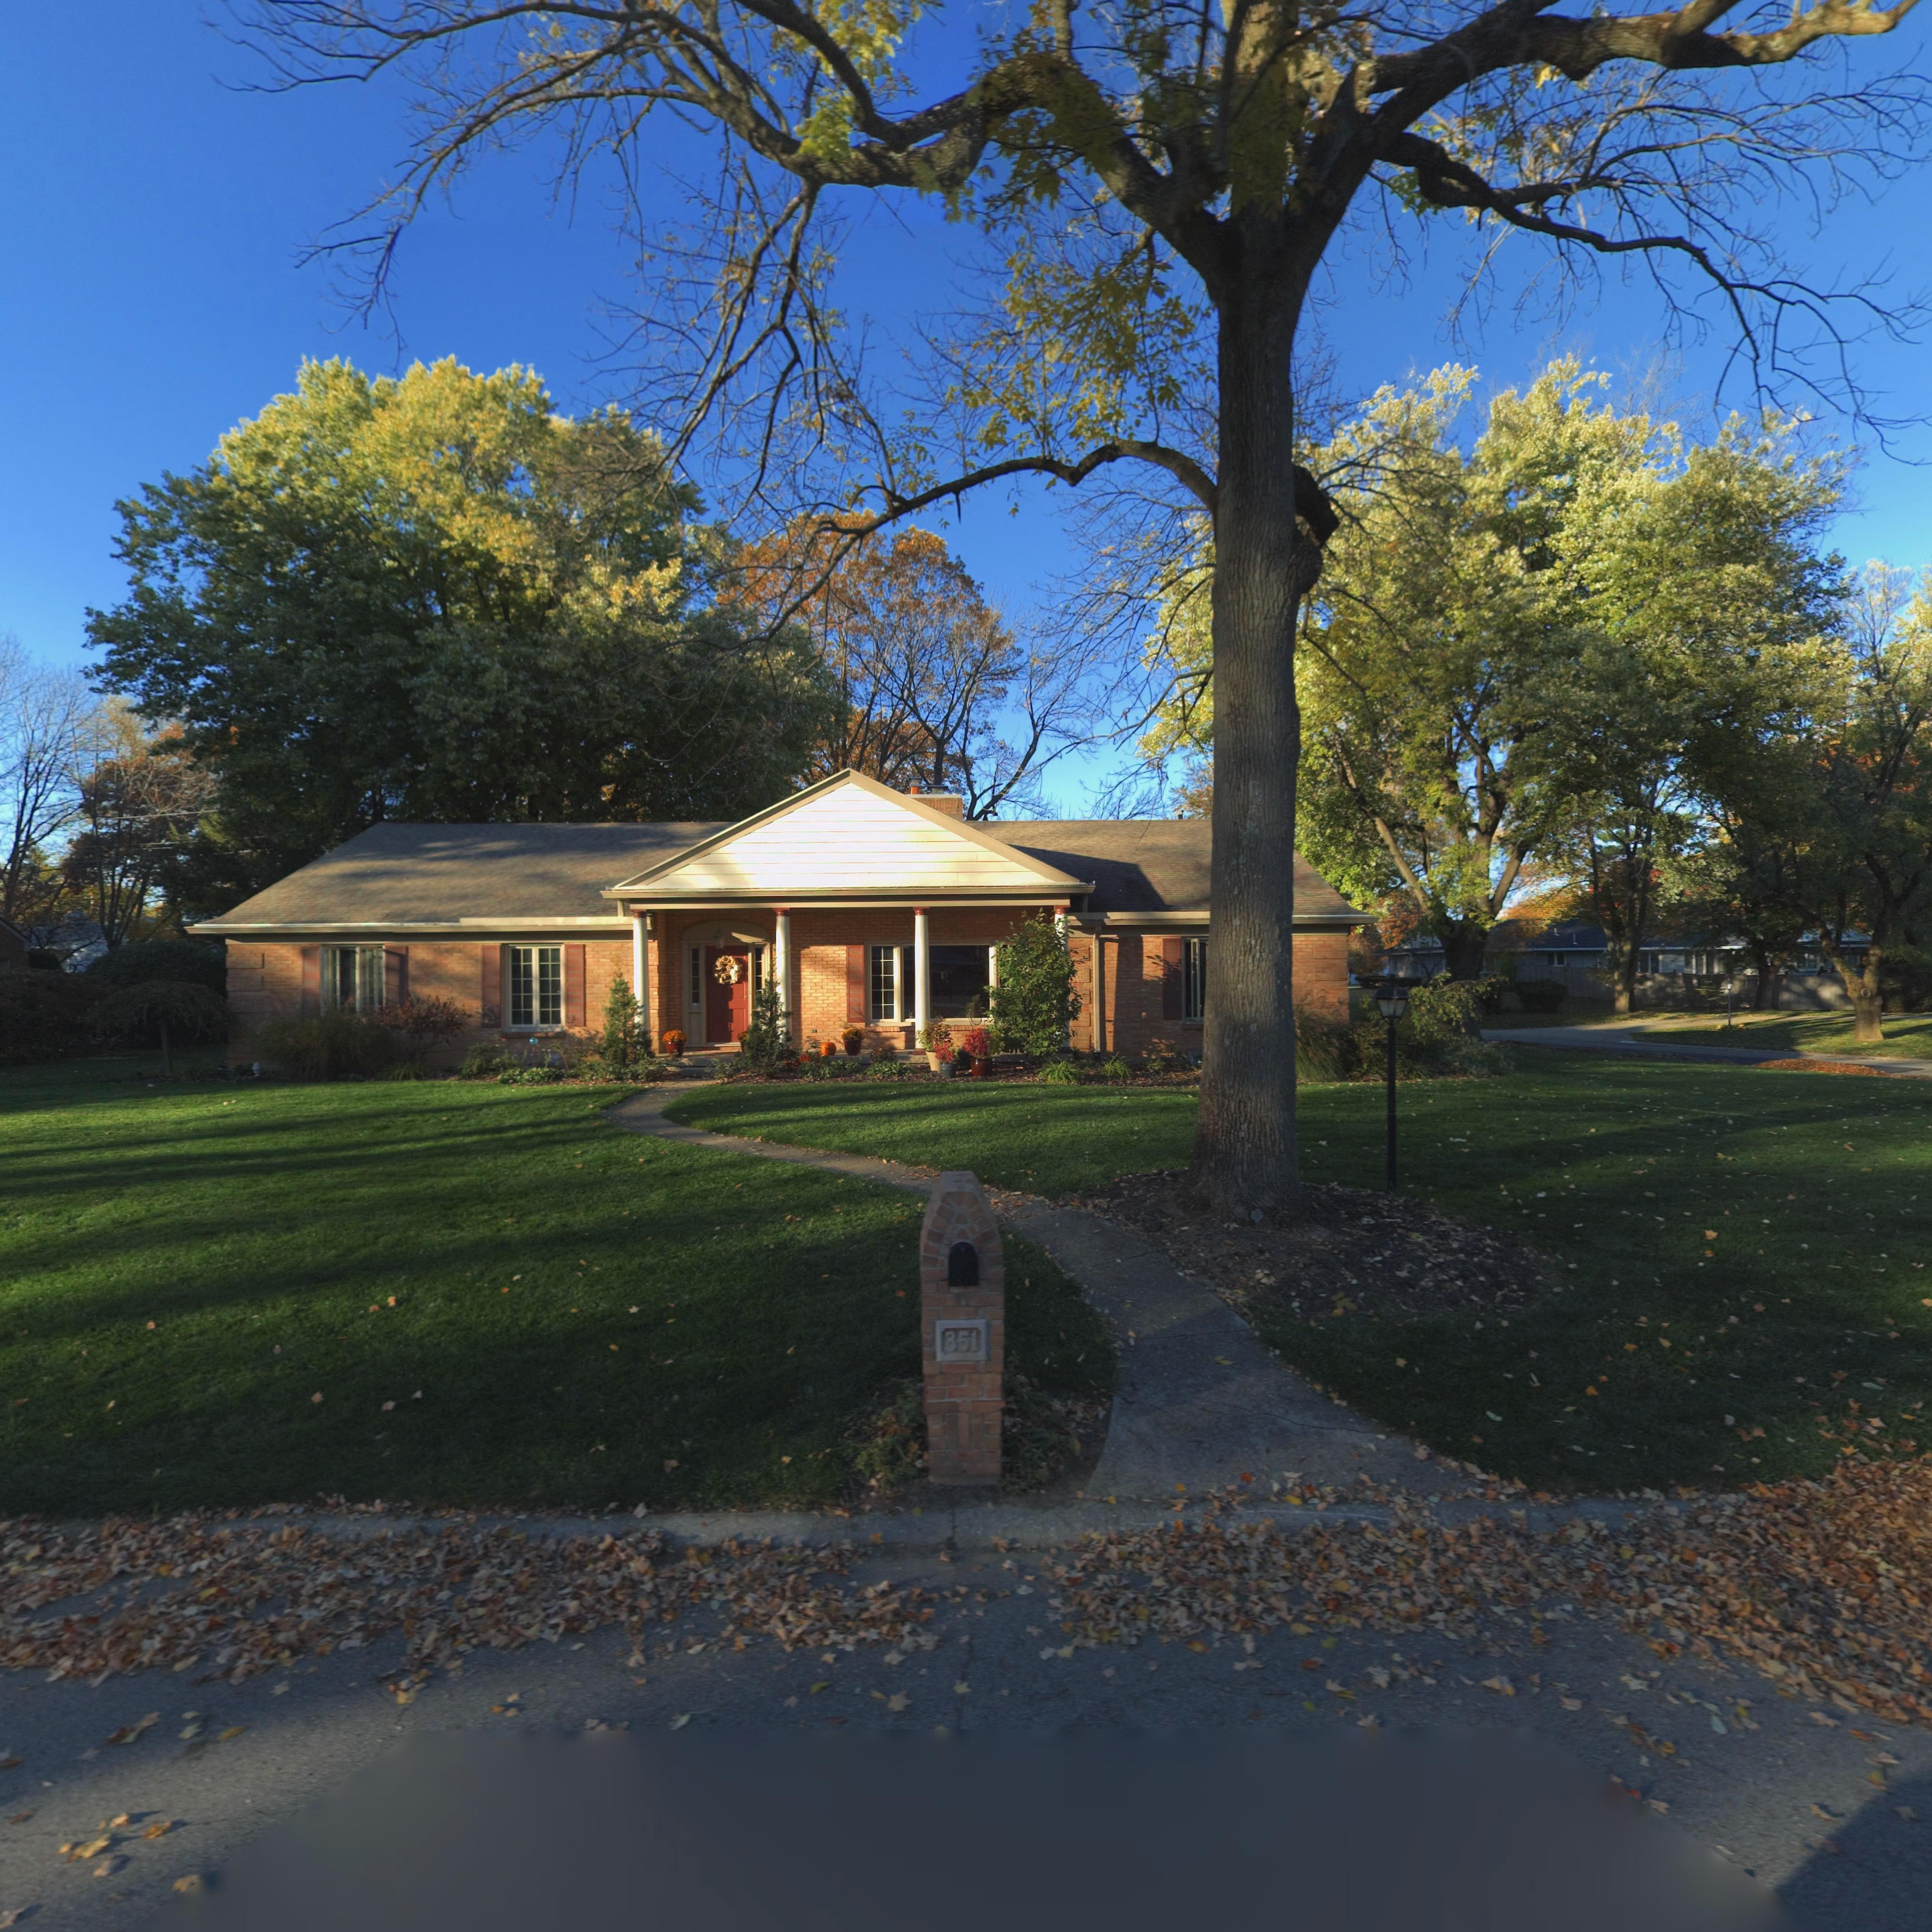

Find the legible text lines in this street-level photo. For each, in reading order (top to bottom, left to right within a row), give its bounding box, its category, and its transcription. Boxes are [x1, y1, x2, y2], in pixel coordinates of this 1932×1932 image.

[943, 1328, 979, 1354] StreetNumber: 351